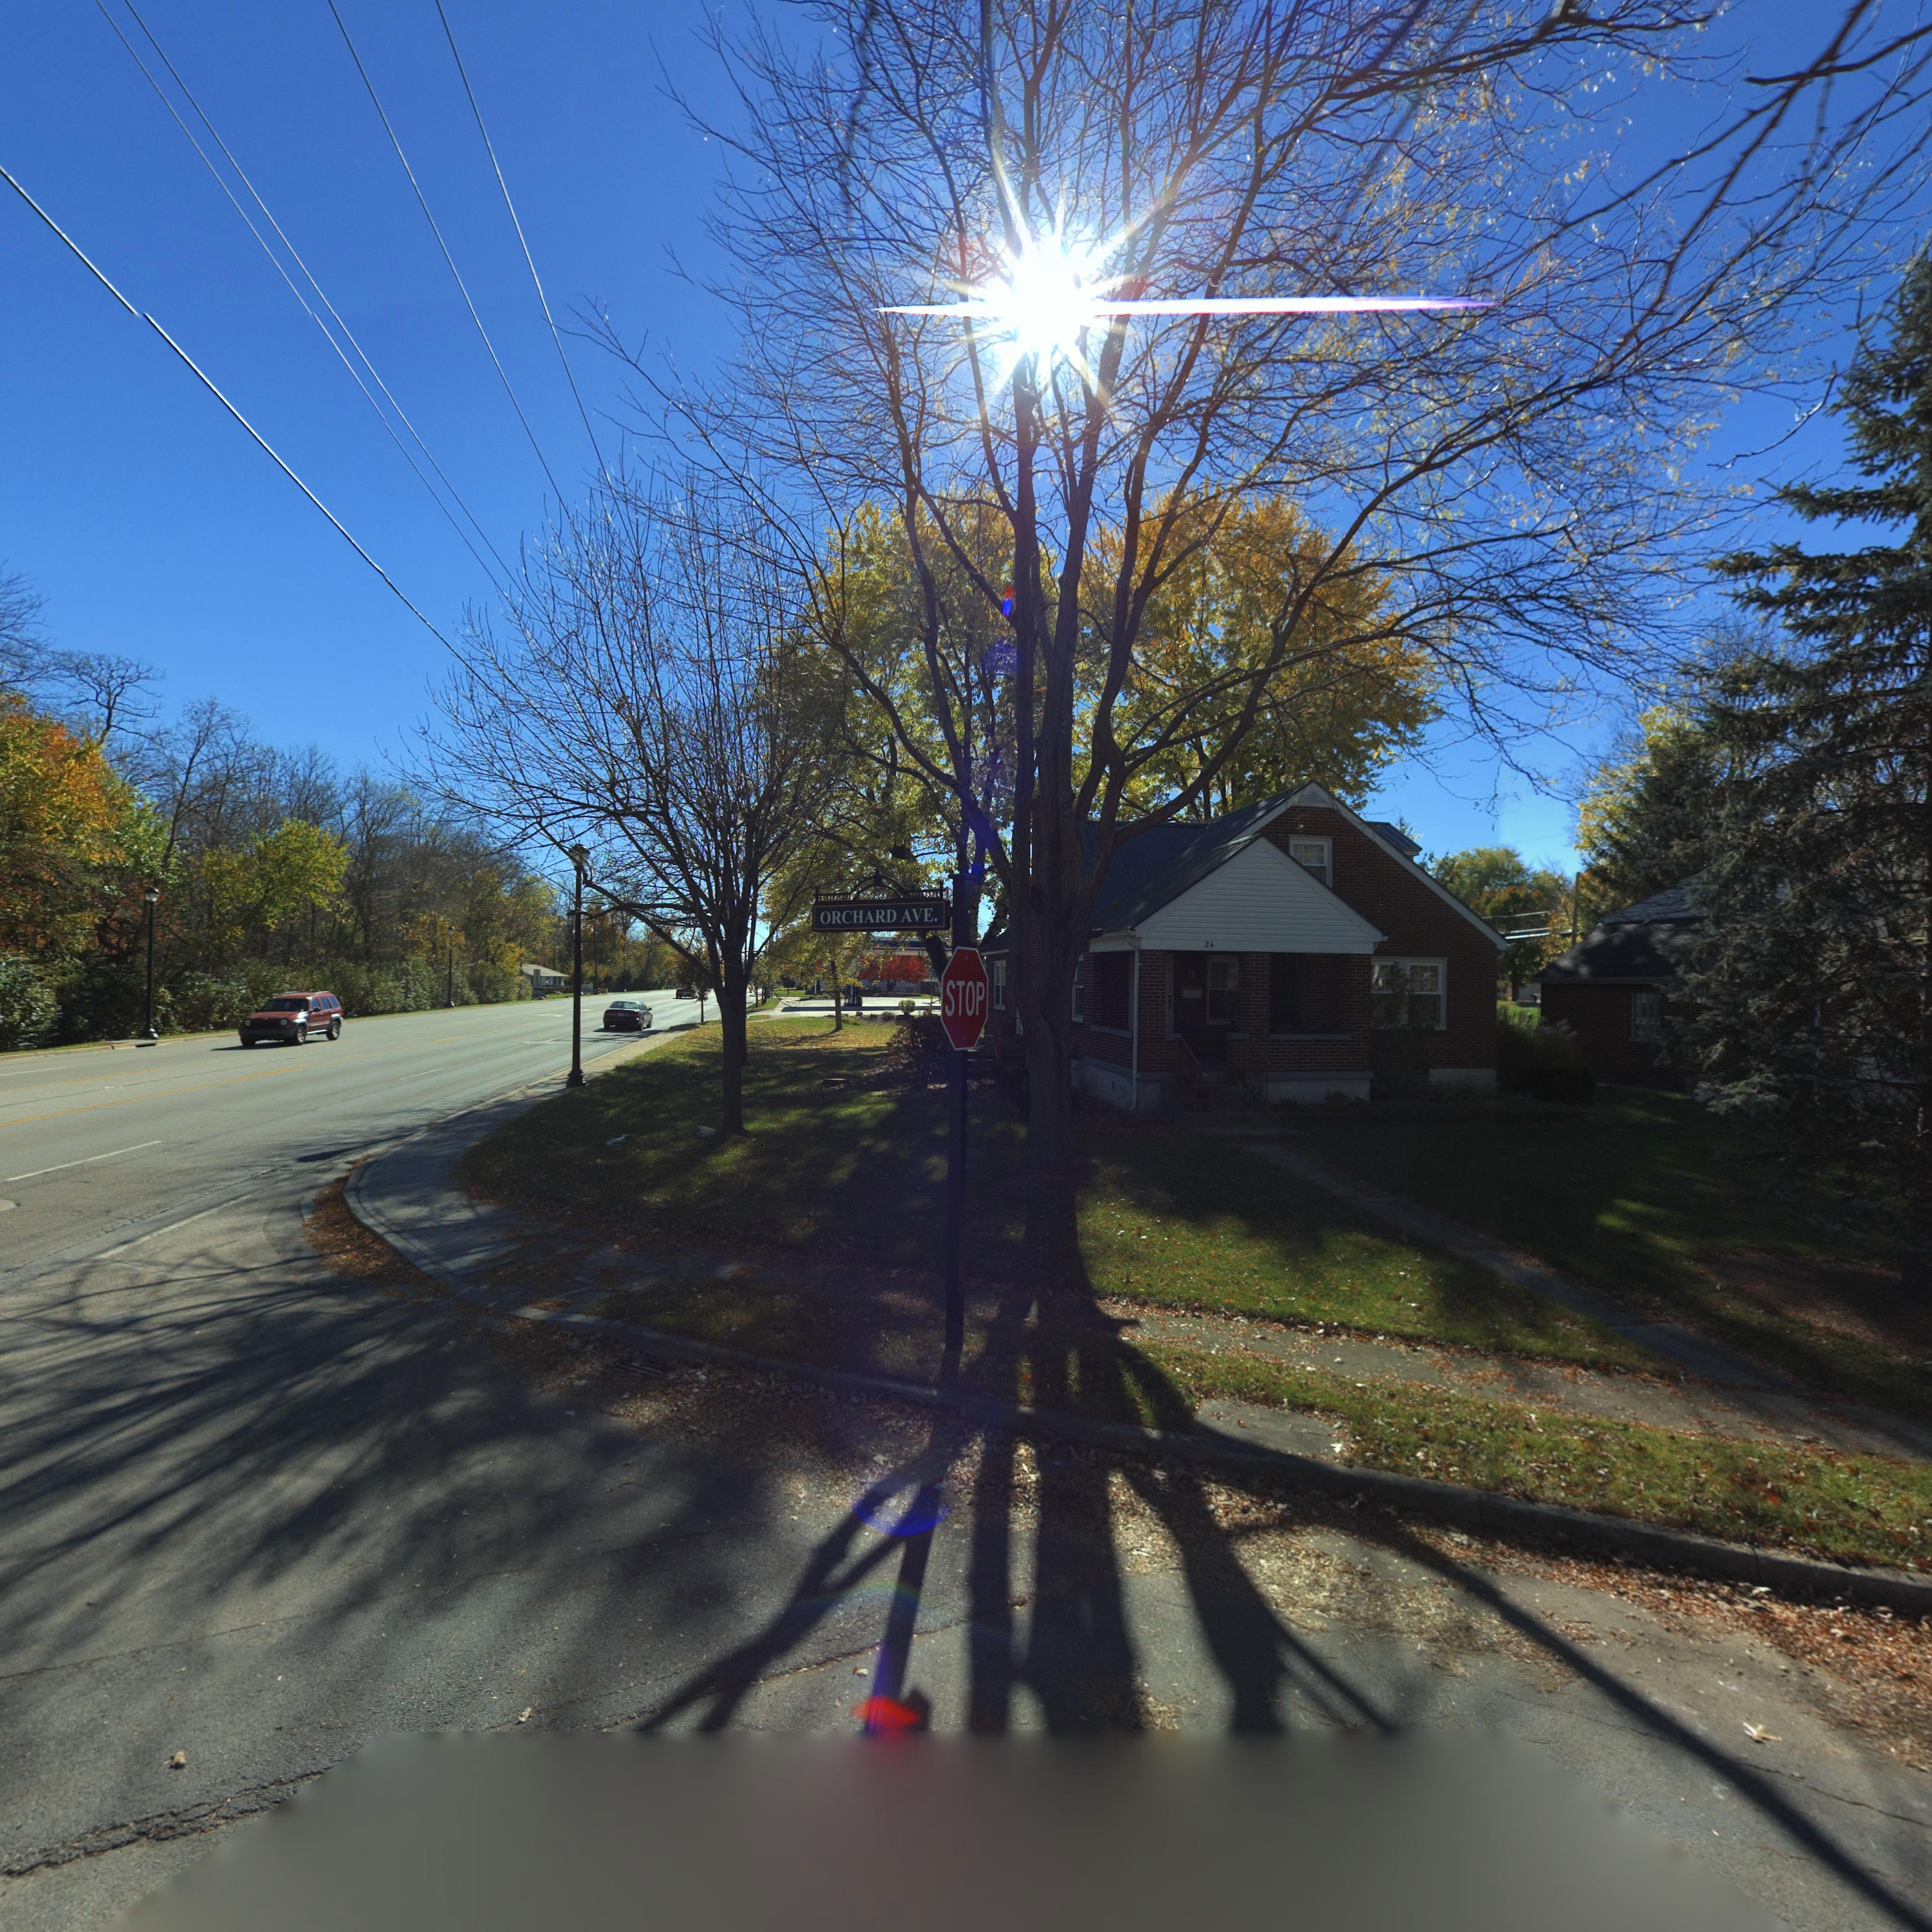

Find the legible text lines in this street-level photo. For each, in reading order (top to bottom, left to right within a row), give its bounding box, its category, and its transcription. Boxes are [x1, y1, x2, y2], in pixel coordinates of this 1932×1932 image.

[819, 907, 940, 925] StreetName: ORCHARD AVE.
[1204, 940, 1214, 948] StreetNumber: 24